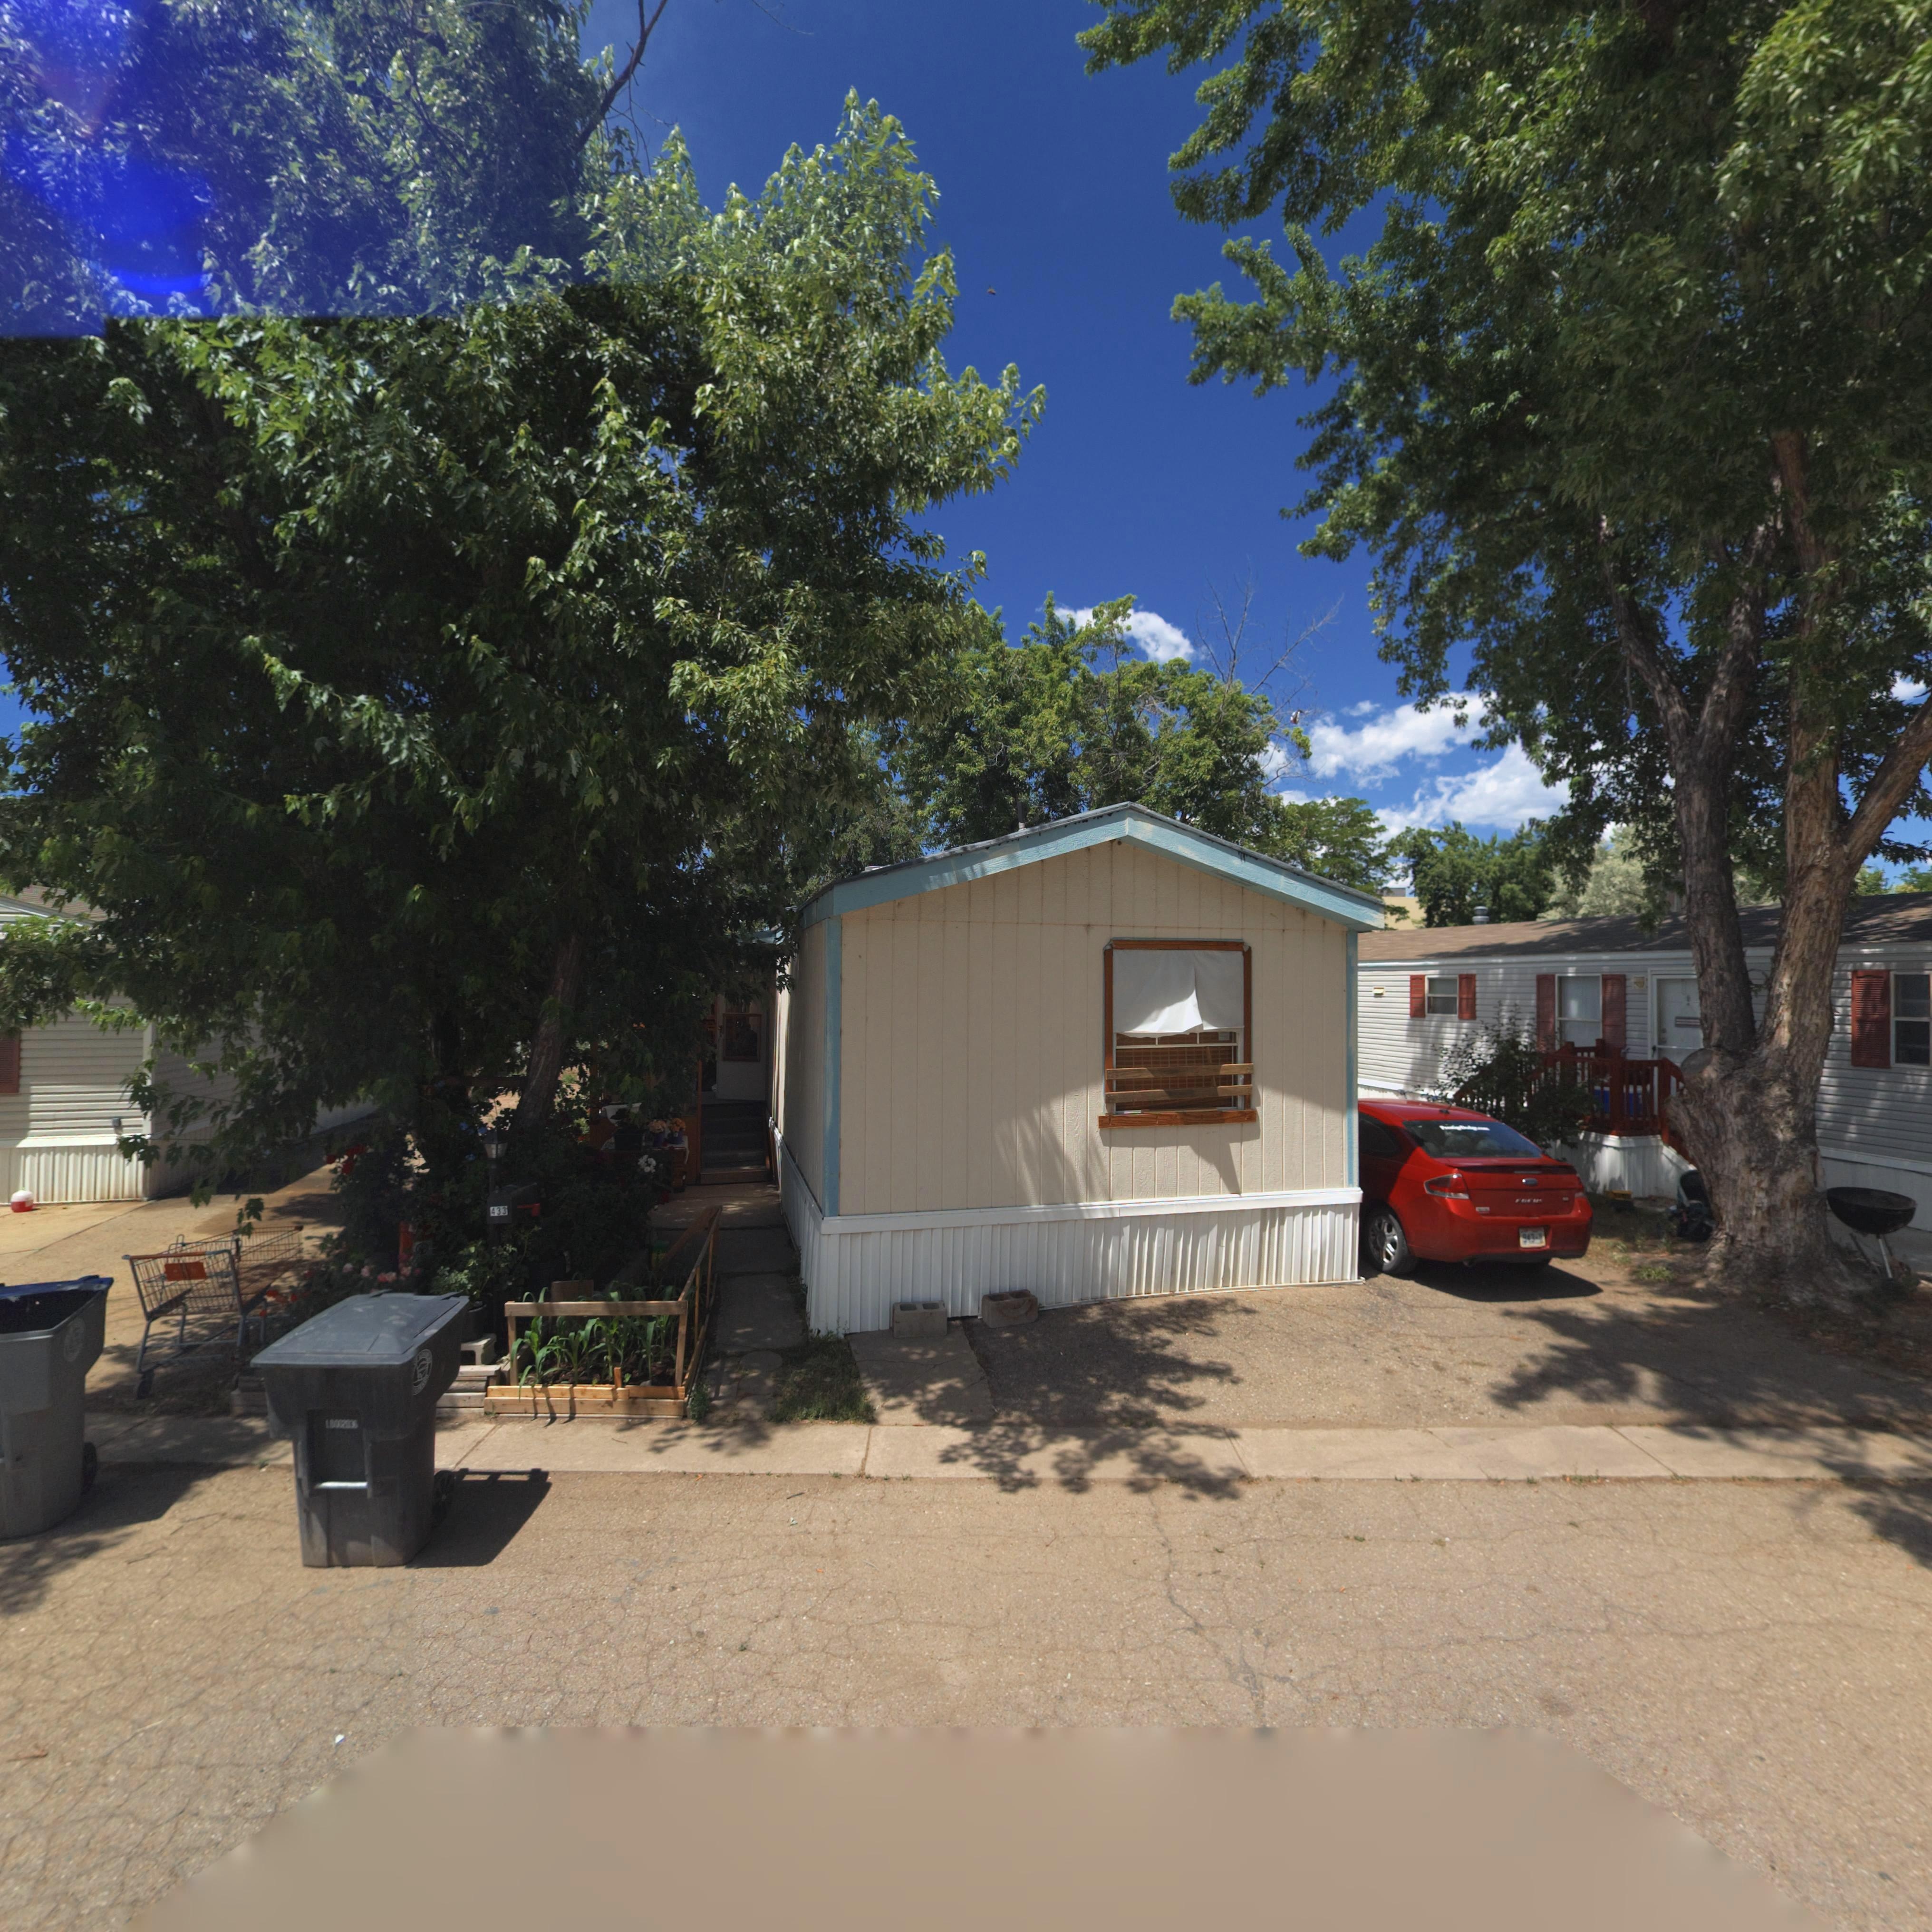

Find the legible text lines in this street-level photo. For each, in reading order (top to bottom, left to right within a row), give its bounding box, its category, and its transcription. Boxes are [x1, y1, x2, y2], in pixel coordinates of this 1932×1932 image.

[491, 1206, 506, 1215] StreetNumber: 433